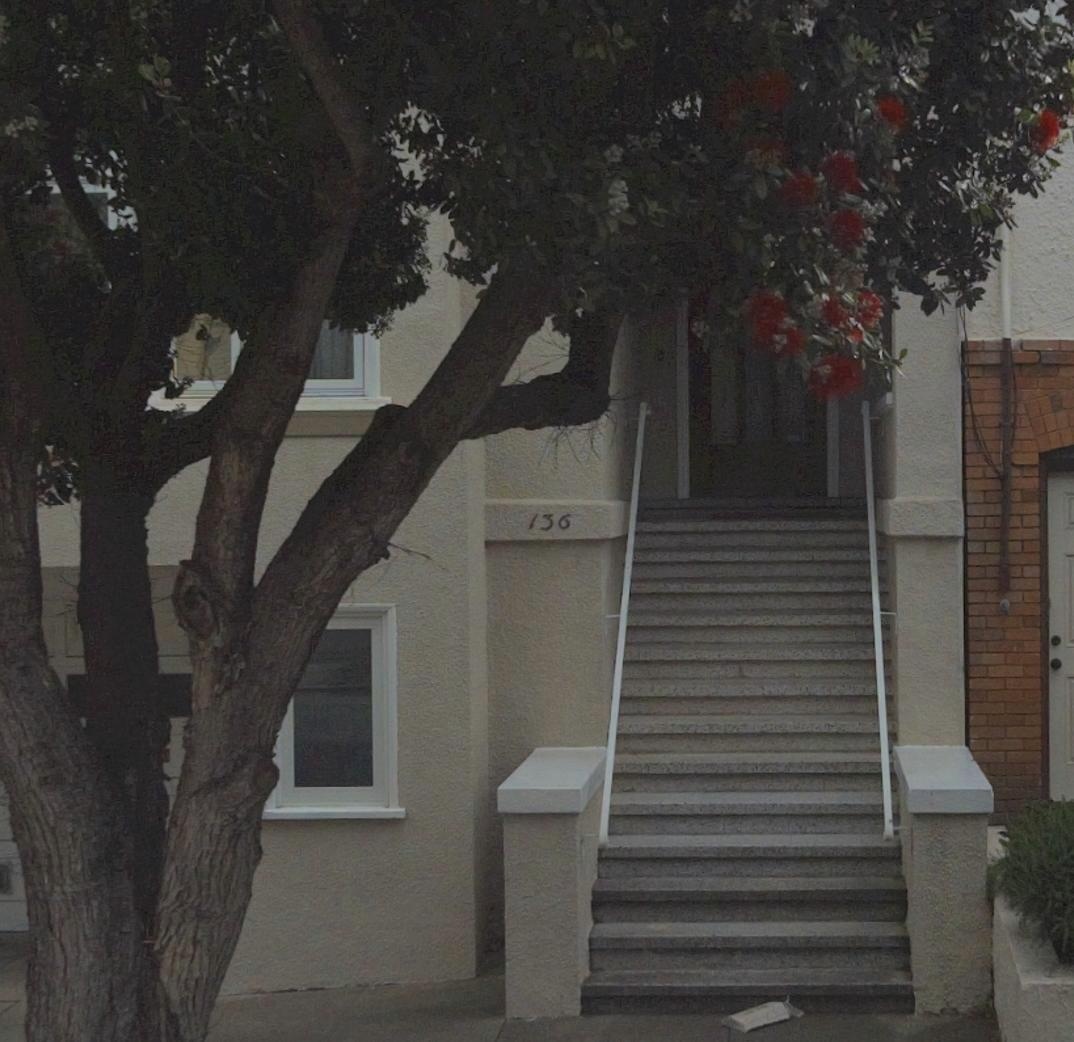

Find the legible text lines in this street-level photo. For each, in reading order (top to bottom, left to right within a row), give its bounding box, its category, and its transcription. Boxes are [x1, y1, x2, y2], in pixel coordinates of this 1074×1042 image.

[526, 512, 574, 532] StreetNumber: 136